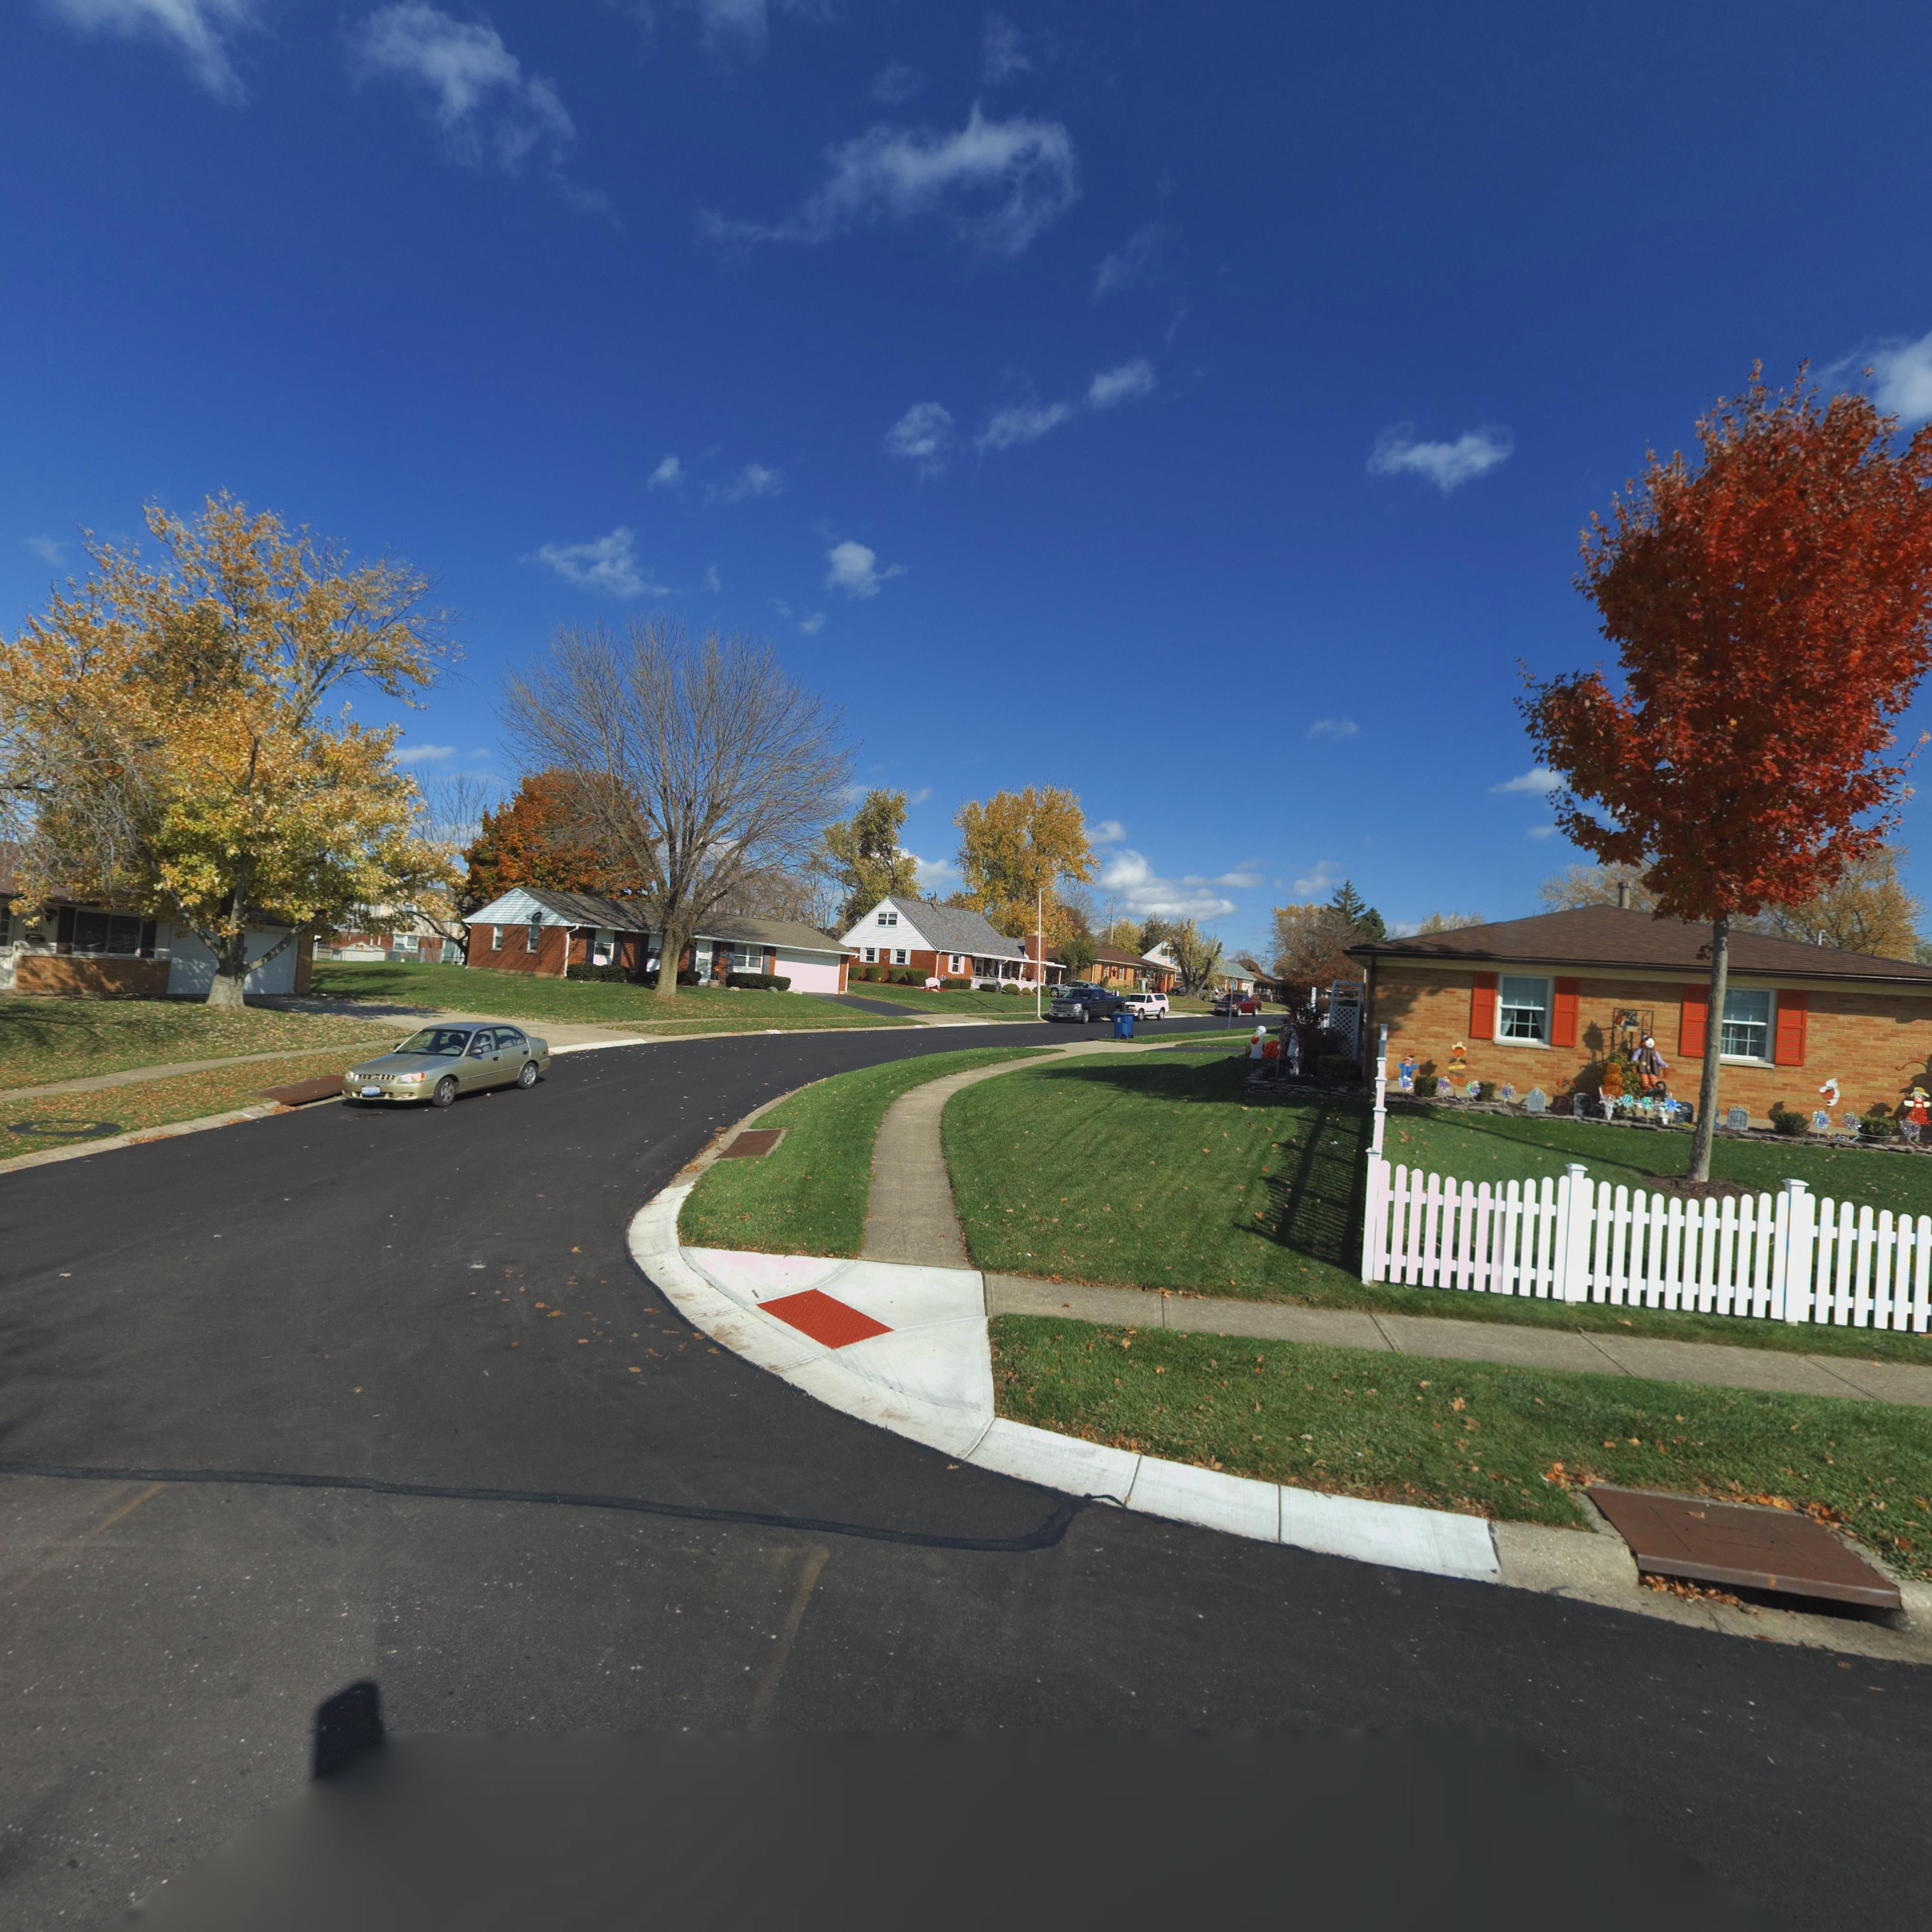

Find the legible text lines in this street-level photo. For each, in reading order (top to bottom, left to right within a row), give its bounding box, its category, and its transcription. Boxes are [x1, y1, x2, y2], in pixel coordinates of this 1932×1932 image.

[34, 925, 43, 932] StreetNumber: 01